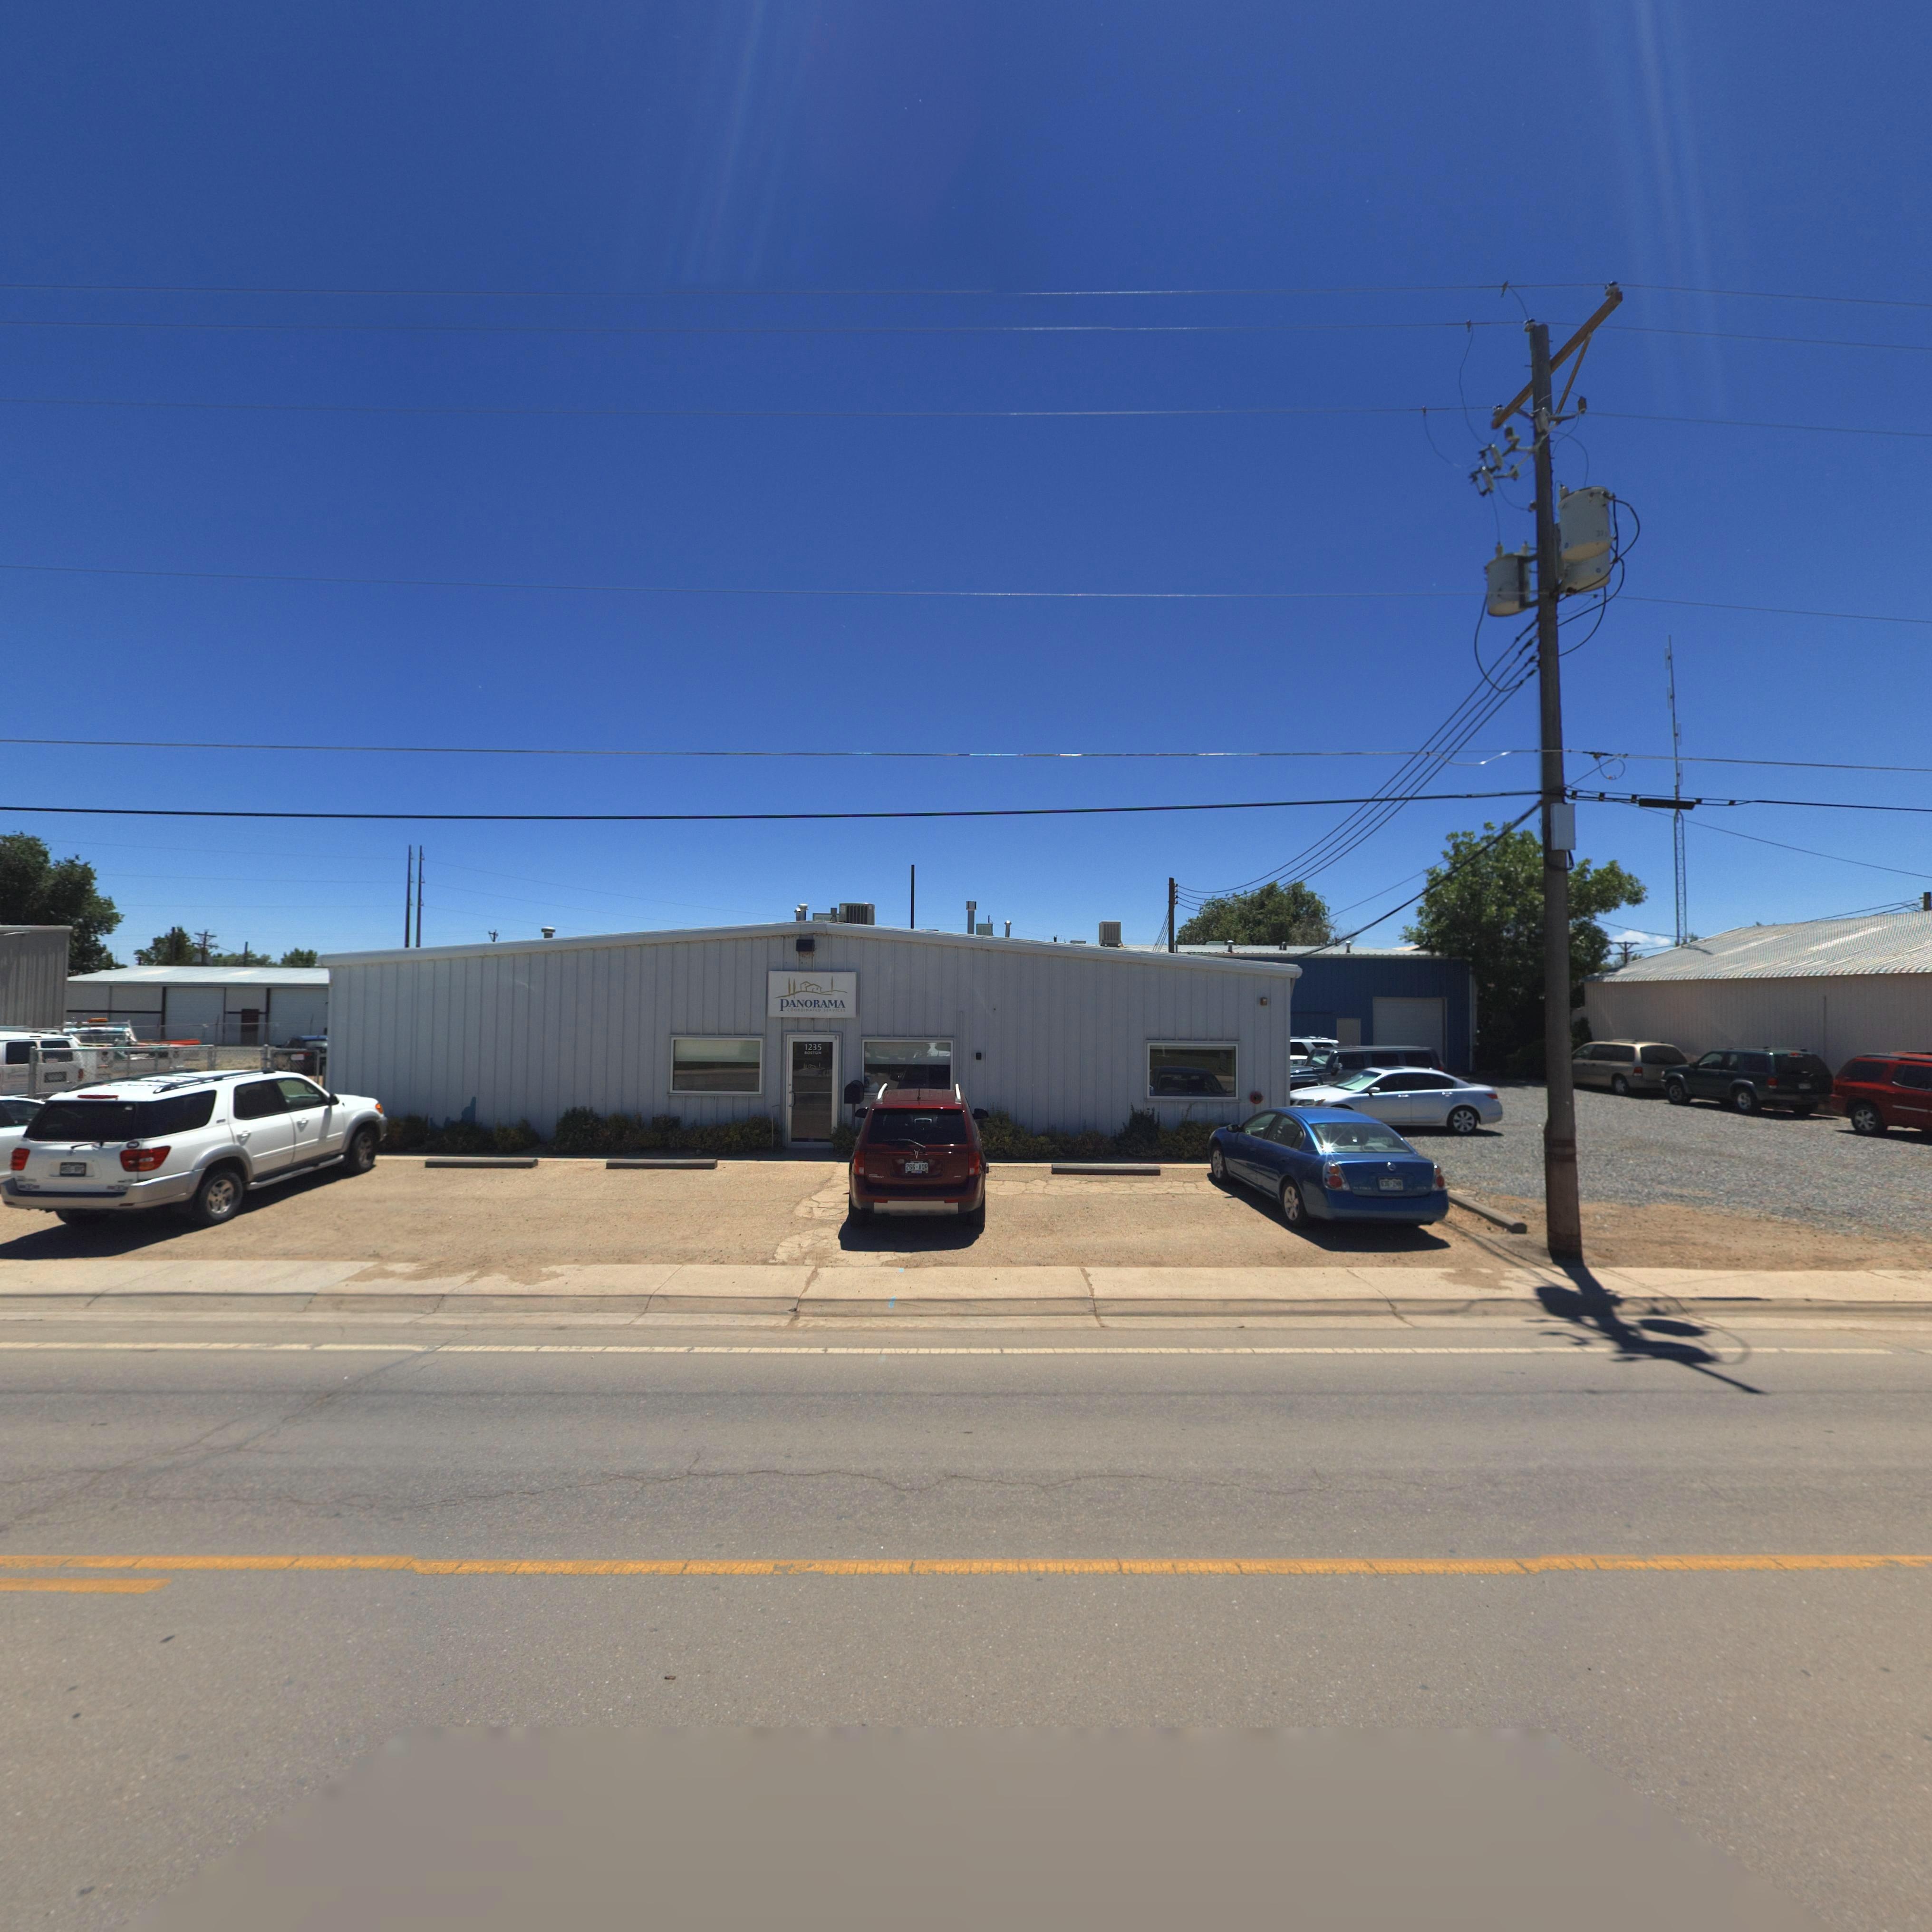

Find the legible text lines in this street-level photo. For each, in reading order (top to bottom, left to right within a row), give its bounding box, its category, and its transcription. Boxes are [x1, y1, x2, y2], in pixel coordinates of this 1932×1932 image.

[779, 998, 846, 1011] BusinessName: PANORAMA
[804, 1043, 821, 1051] StreetNumber: 1235
[804, 1051, 822, 1054] StreetName: BOSTON